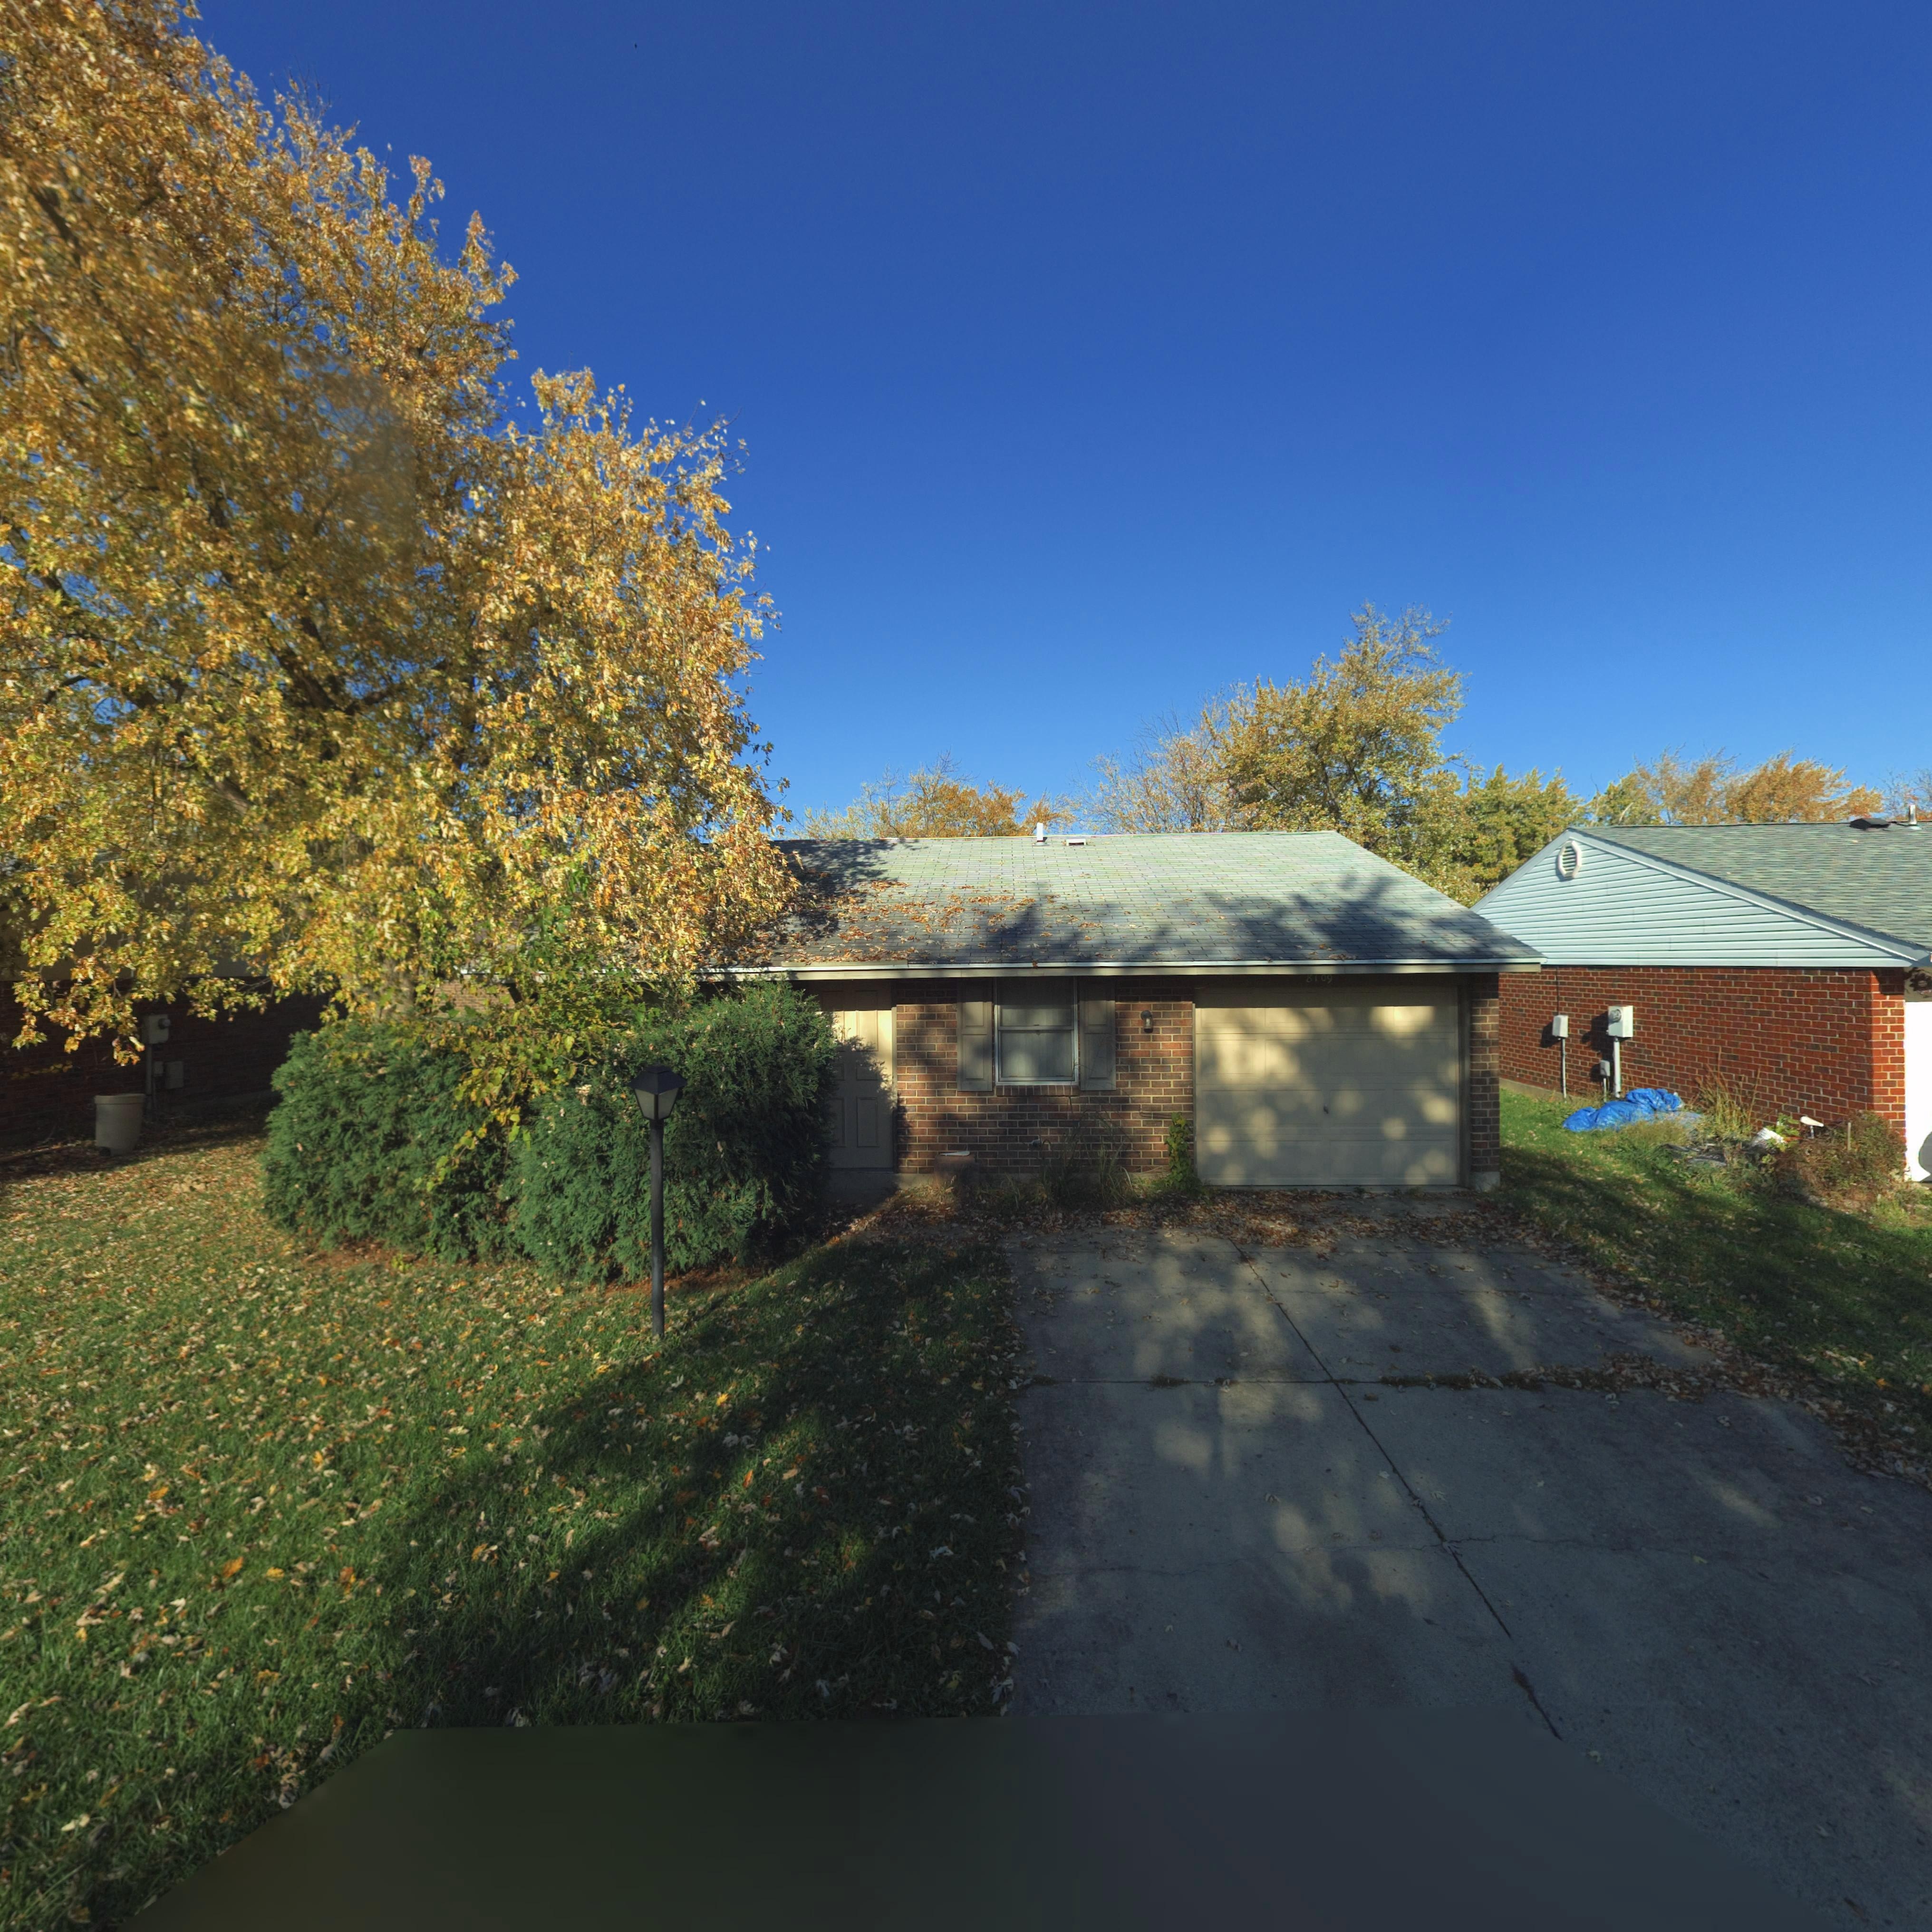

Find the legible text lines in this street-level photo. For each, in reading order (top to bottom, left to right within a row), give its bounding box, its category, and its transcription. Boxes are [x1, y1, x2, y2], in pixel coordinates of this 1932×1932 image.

[1304, 973, 1334, 985] StreetNumber: 8109